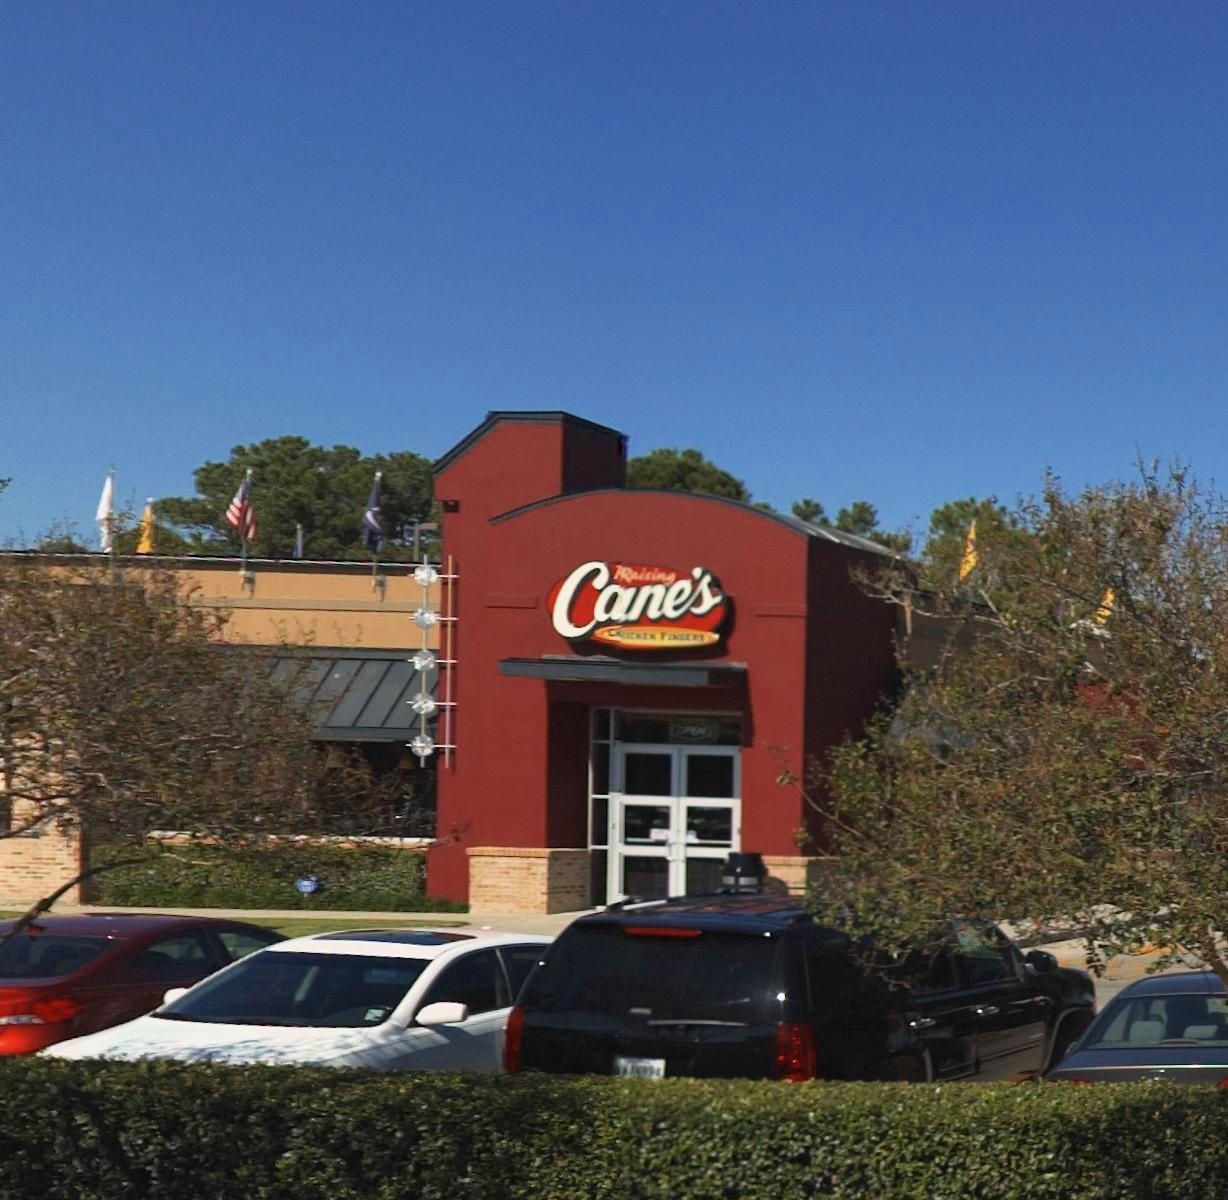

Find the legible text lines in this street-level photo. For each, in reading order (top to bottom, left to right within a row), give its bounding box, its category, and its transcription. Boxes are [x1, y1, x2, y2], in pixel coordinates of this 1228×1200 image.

[612, 563, 678, 588] BusinessName: Raising
[549, 560, 727, 640] BusinessName: Cane's
[607, 627, 708, 645] None: CH*C**N FI***RS
[675, 724, 709, 736] None: OPEN